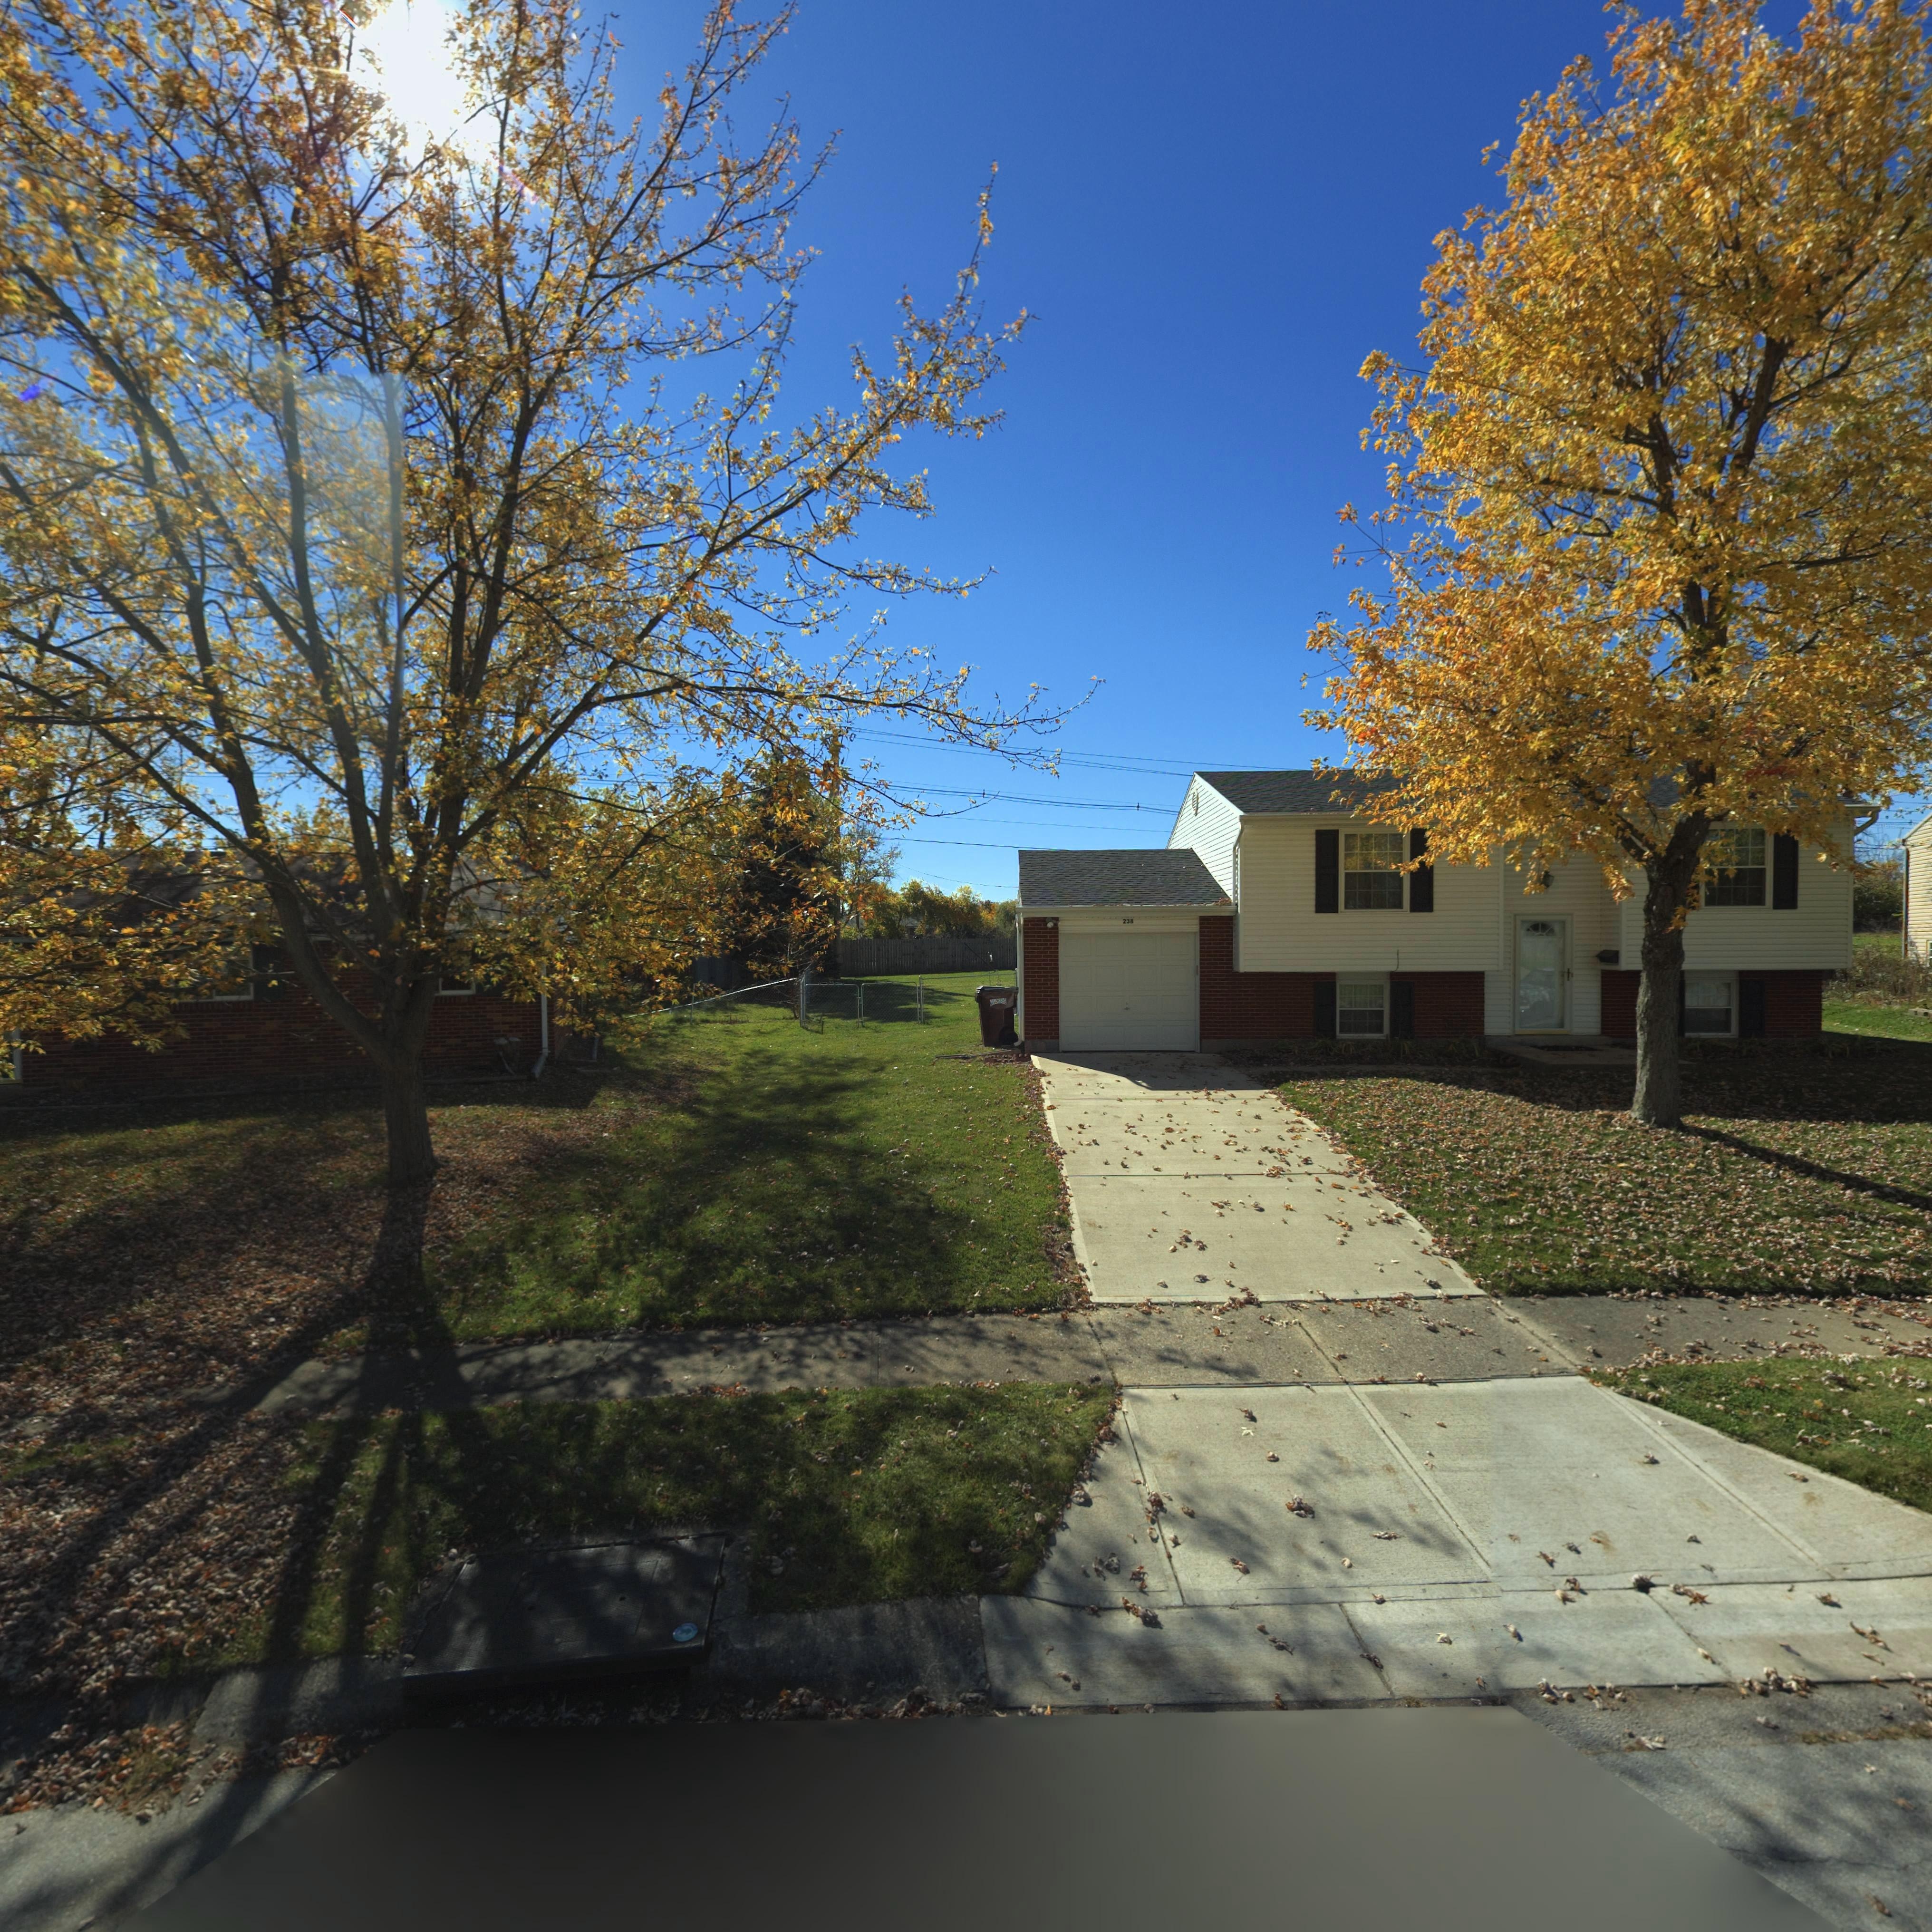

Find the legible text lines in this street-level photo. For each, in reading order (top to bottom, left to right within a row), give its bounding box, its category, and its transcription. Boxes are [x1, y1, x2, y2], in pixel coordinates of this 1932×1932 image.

[1122, 918, 1134, 924] StreetNumber: 238